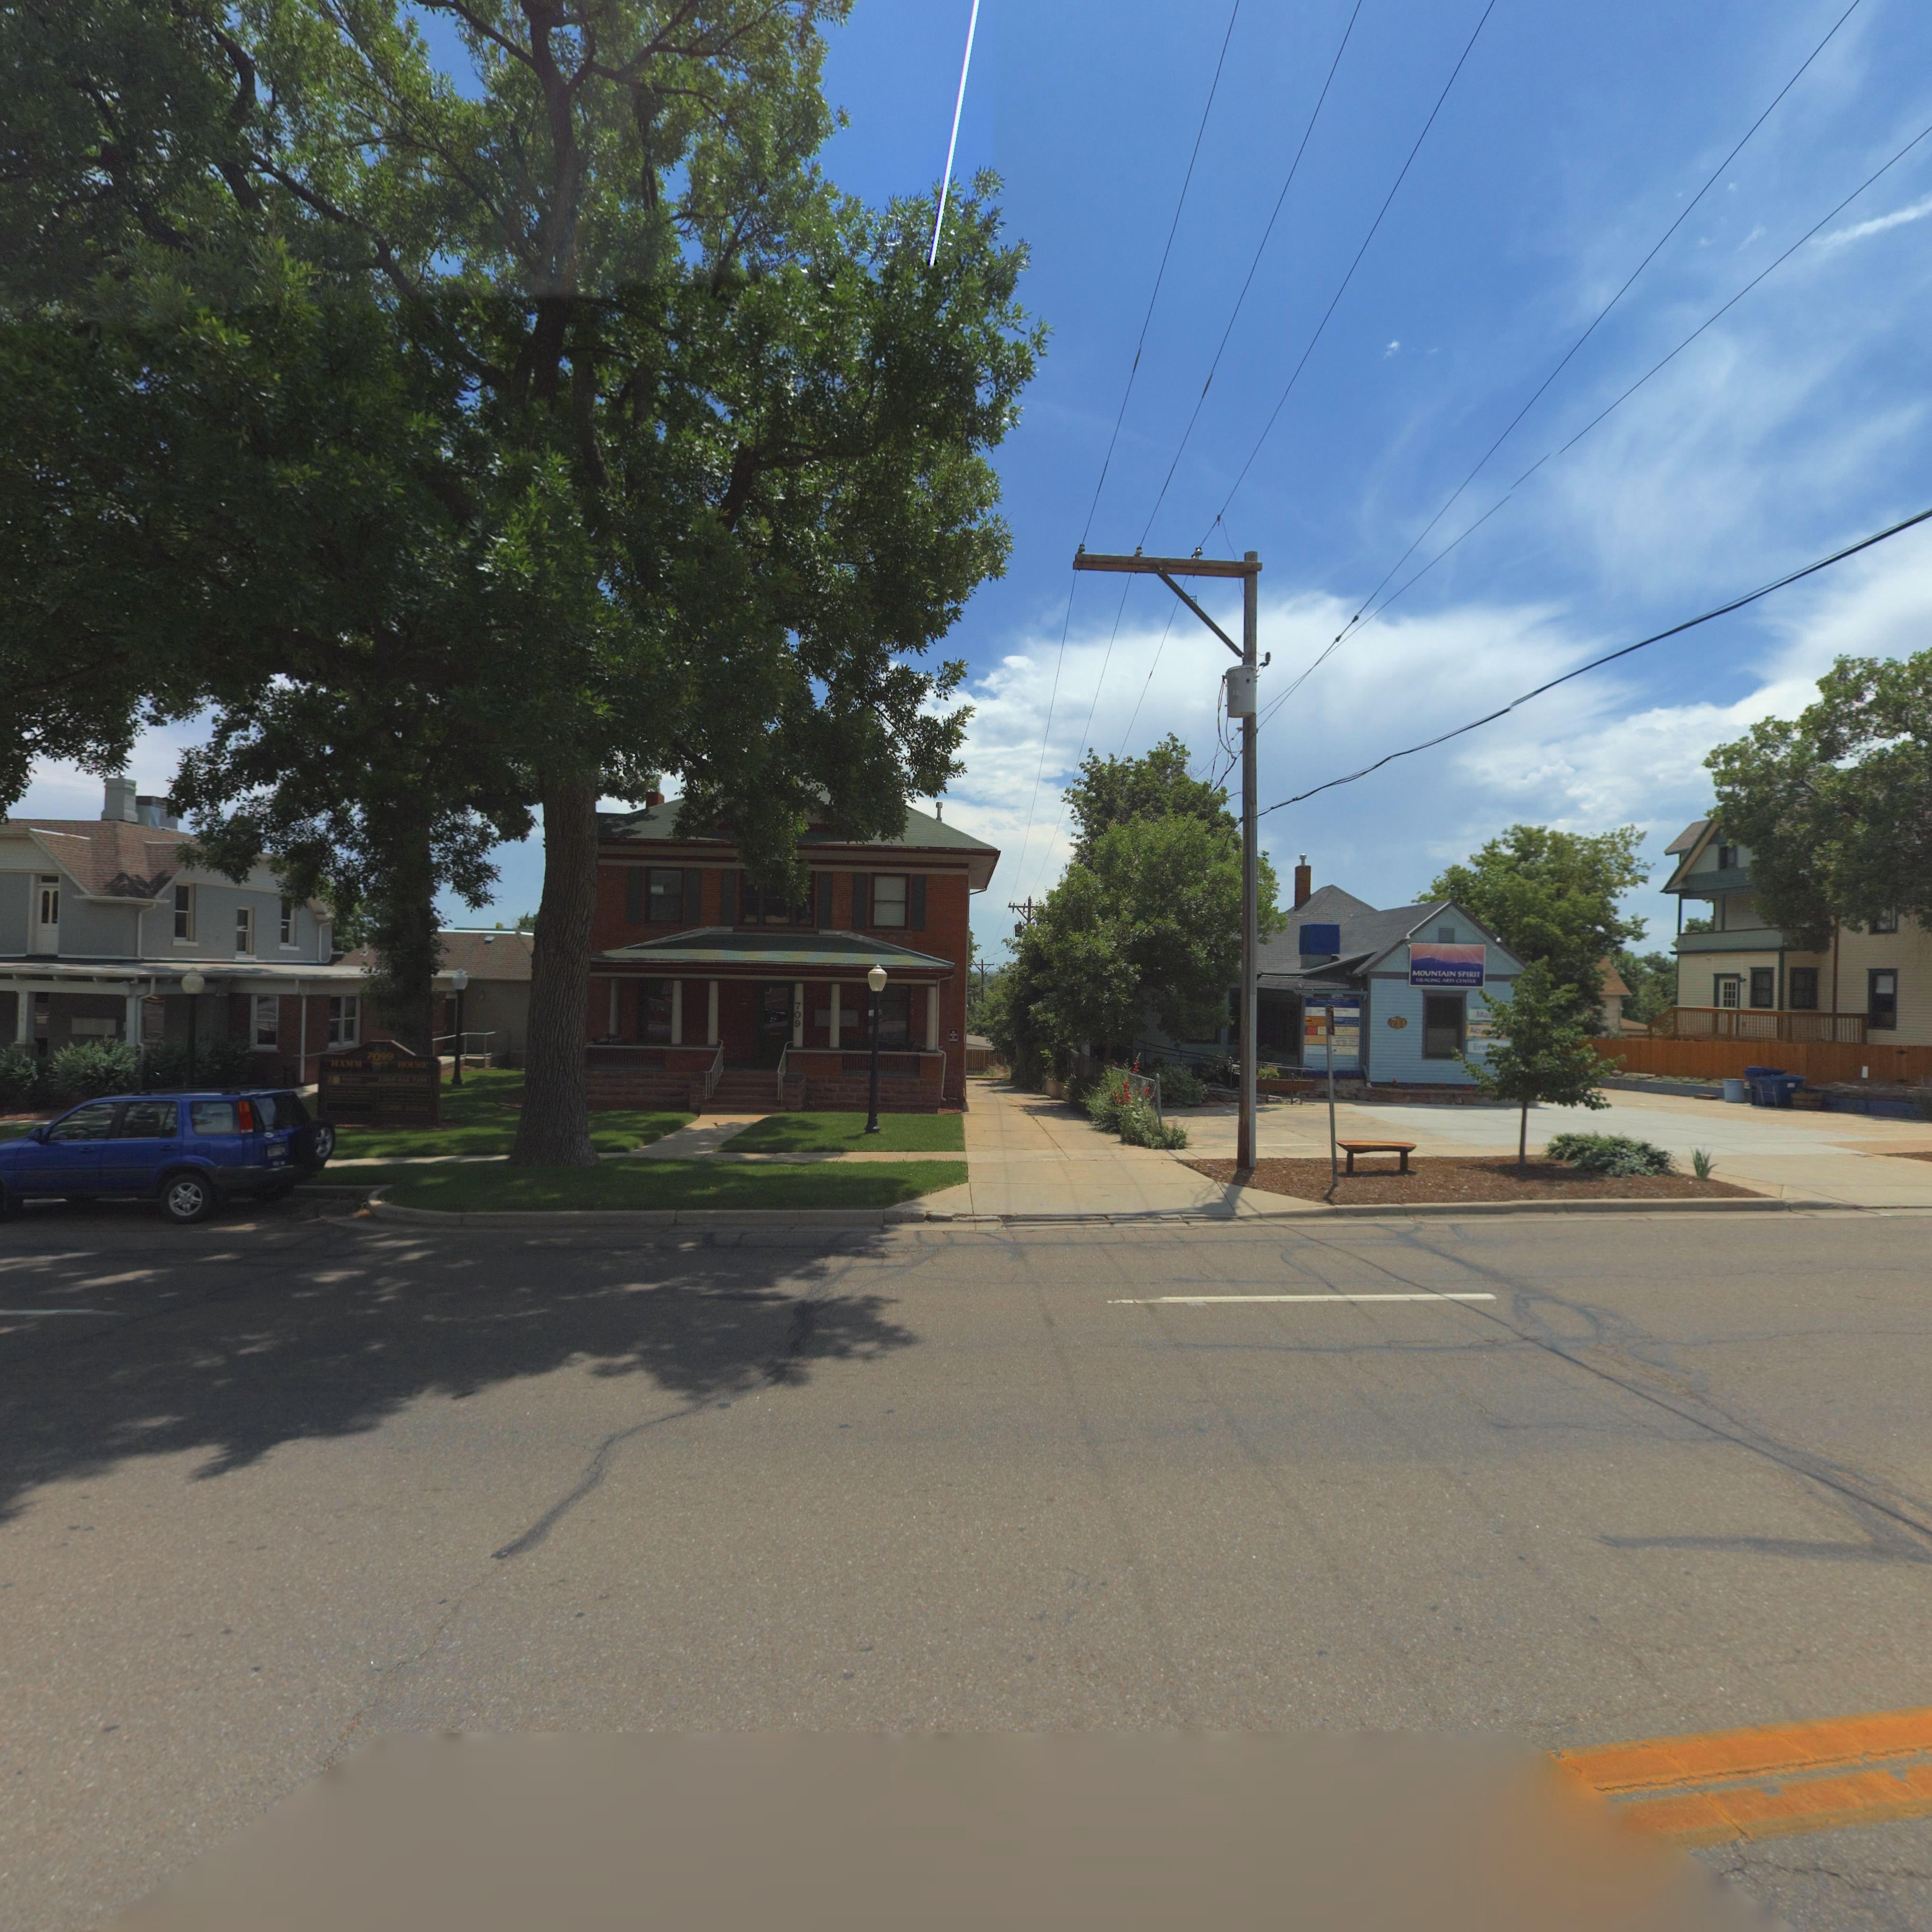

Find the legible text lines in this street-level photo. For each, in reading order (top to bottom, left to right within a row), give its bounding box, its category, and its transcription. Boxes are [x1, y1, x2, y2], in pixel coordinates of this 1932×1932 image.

[1411, 970, 1480, 977] BusinessName: MOUNTAIN SPIRIT\
[1416, 977, 1476, 983] BusinessName: HEALING ARTS CENTER
[794, 1002, 801, 1028] StreetNumber: 709
[1391, 1019, 1405, 1027] StreetNumber: 713
[1319, 1026, 1350, 1032] BusinessName: D** Lig**
[367, 1051, 394, 1062] StreetNumber: 7099
[340, 1075, 362, 1082] BusinessName: A*****